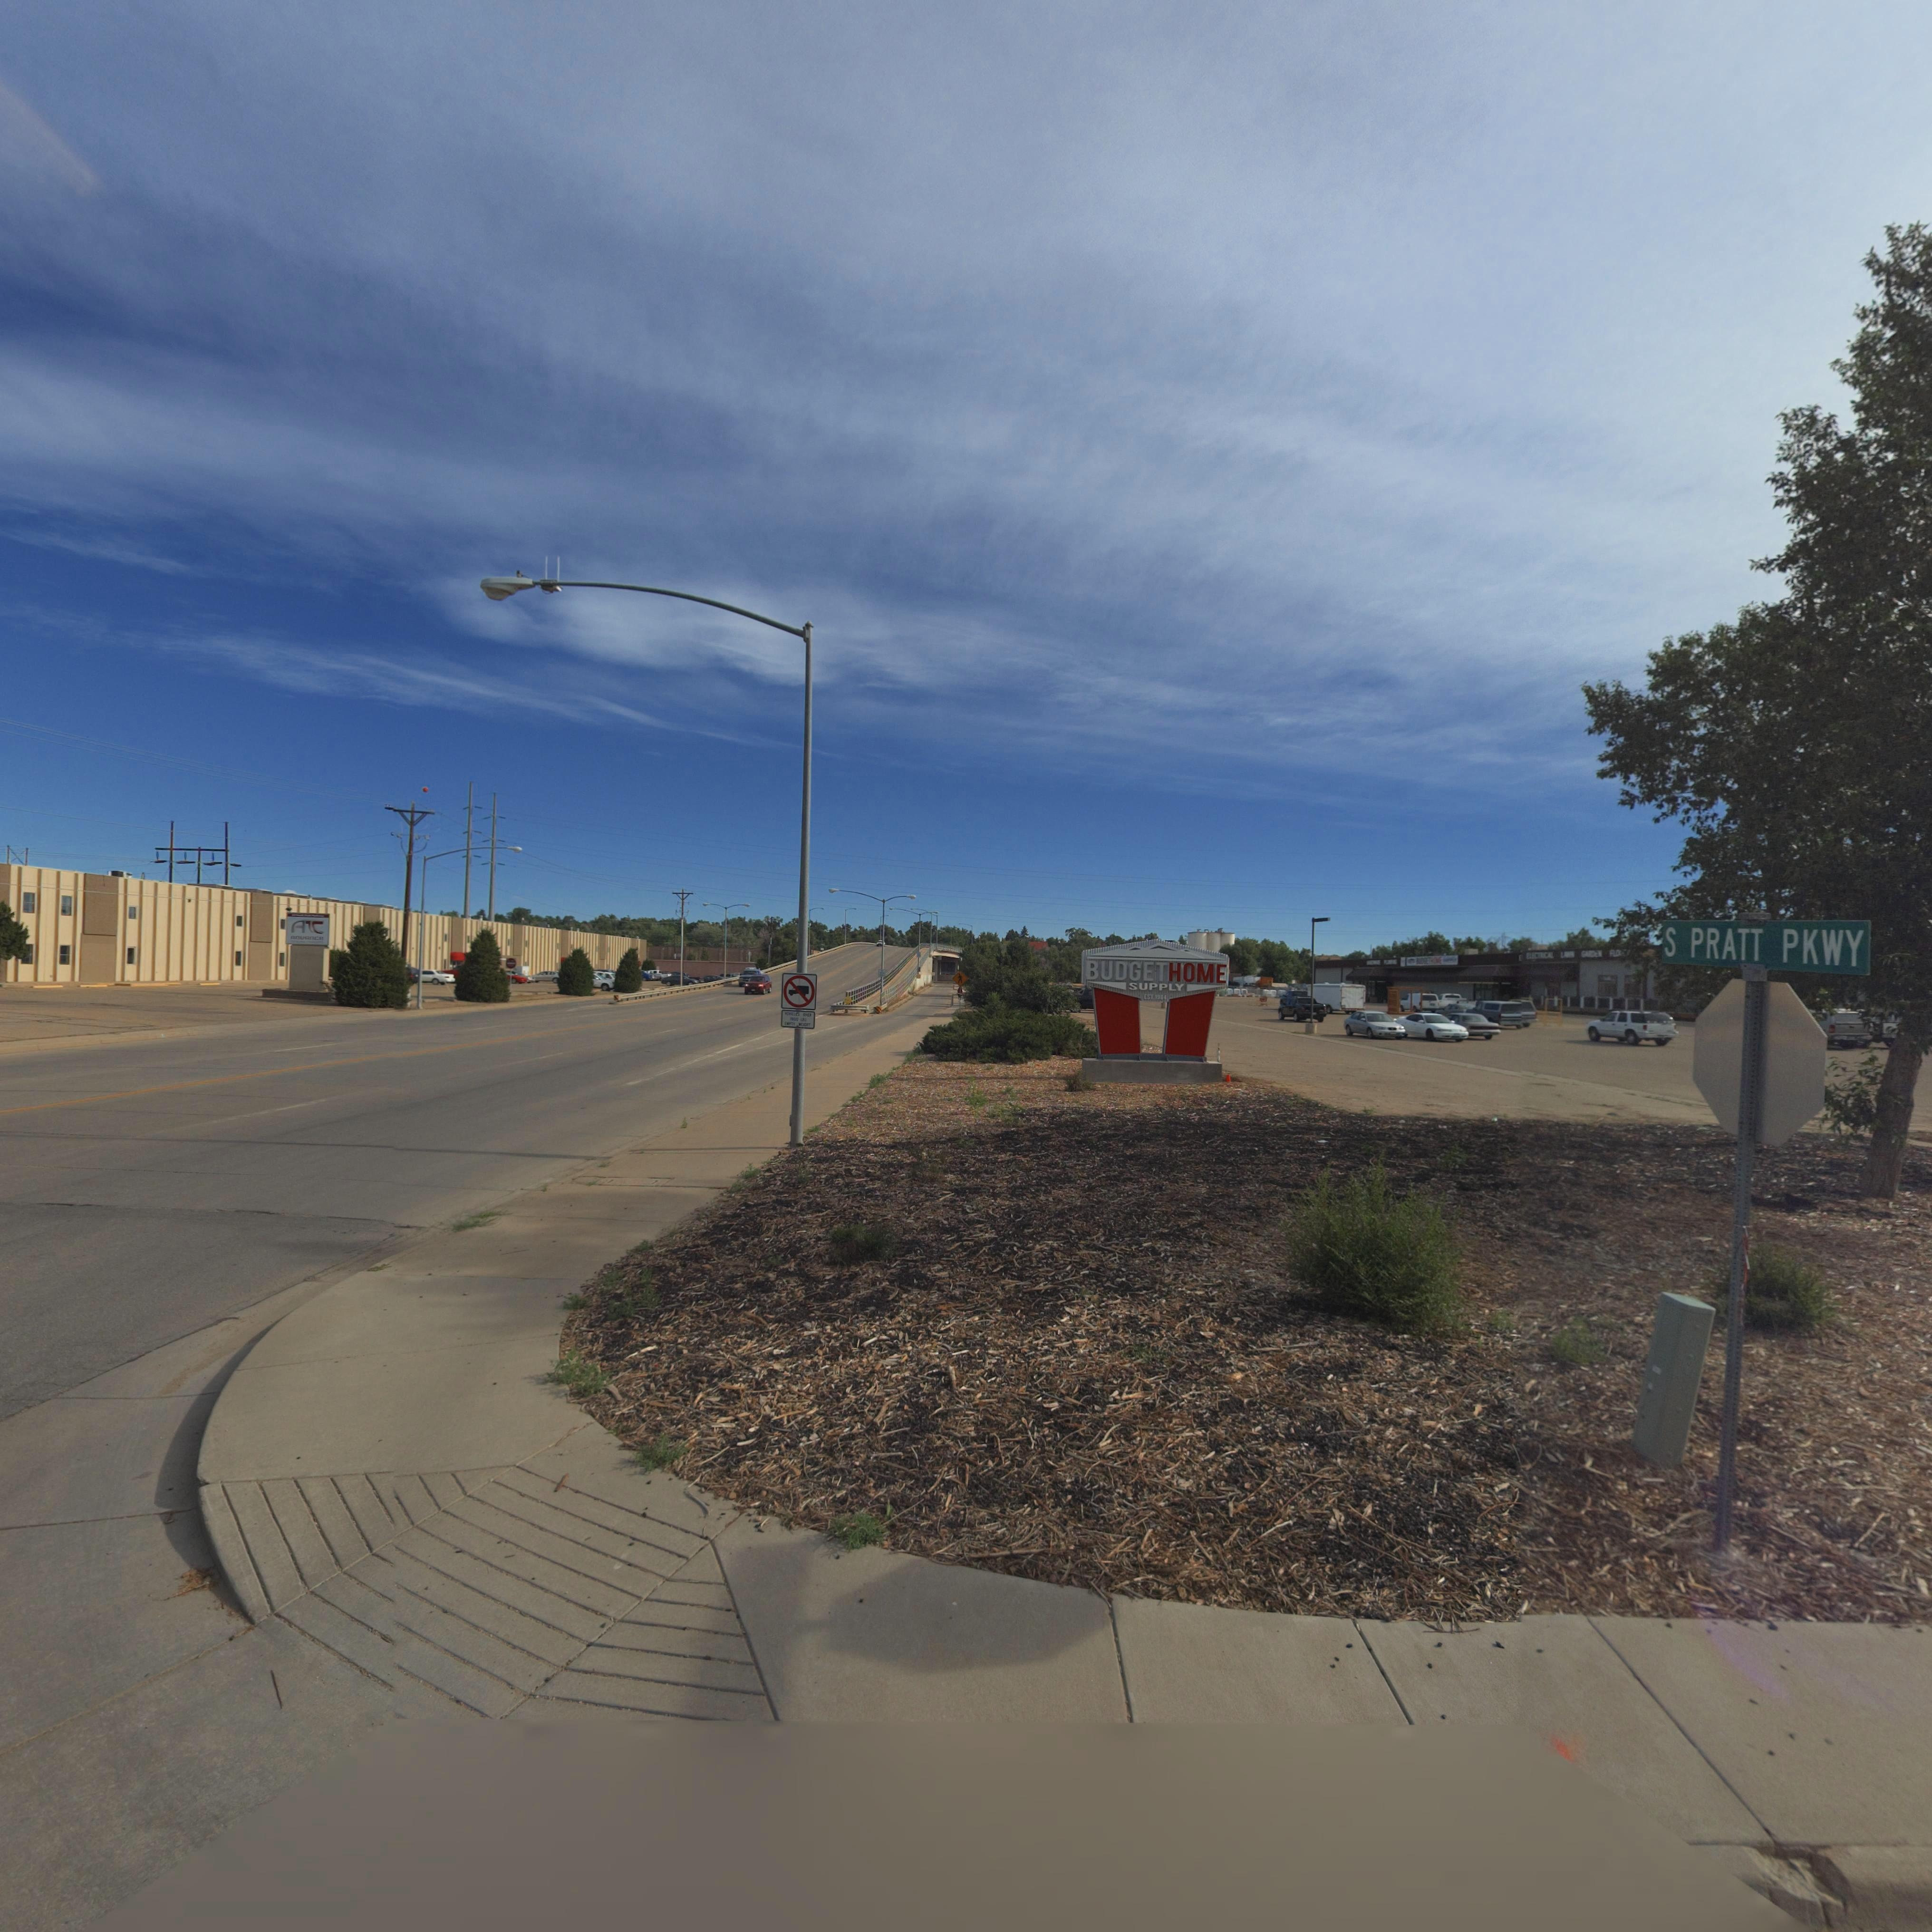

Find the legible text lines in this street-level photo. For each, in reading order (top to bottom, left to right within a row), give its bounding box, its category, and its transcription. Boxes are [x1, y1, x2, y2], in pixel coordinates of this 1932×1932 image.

[290, 919, 324, 934] BusinessName: A**
[1662, 926, 1866, 968] StreetName: S PRATT PKWY
[1415, 956, 1442, 965] BusinessName: BU********
[1442, 957, 1457, 962] BusinessName: S*PPLY
[1083, 959, 1227, 984] BusinessName: BUDGETHOME
[1128, 982, 1186, 992] BusinessName: SUPPLY